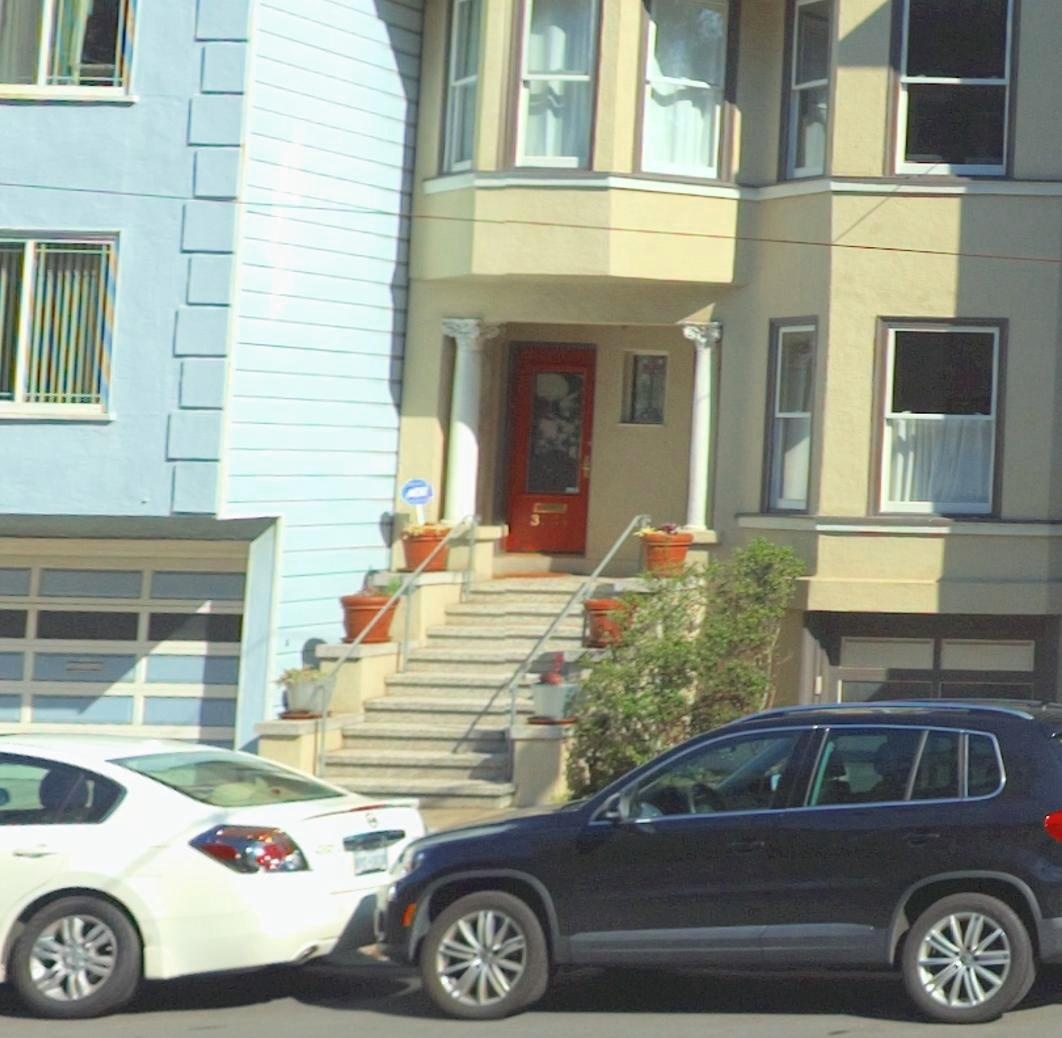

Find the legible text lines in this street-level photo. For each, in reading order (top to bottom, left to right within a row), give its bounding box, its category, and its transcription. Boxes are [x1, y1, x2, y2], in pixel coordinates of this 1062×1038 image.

[528, 512, 561, 527] StreetNumber: 333